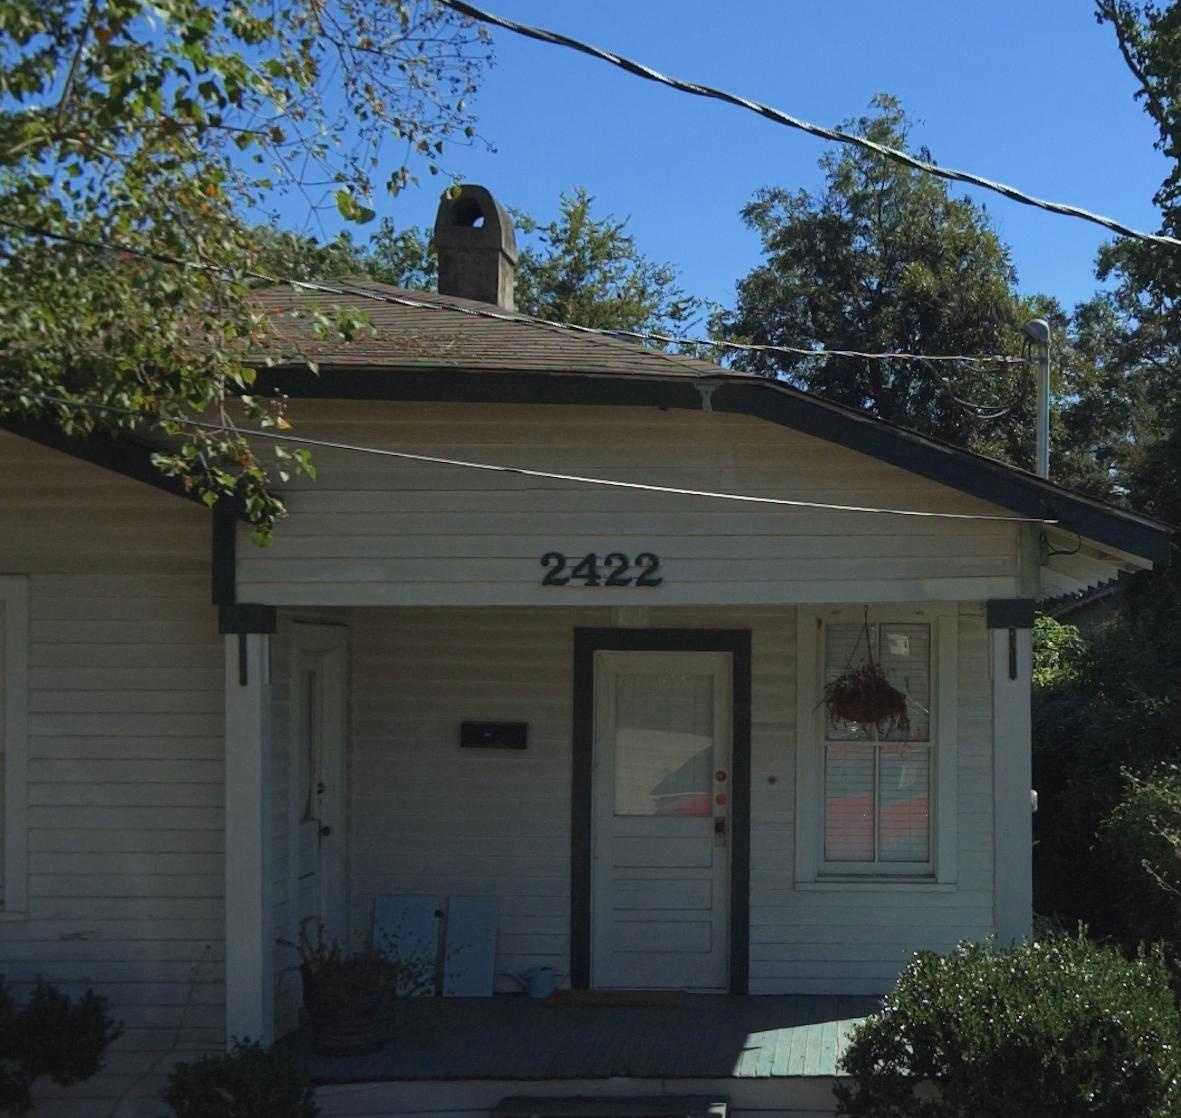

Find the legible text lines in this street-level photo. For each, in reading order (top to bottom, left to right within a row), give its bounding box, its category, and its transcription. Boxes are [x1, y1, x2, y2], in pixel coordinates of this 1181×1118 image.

[538, 549, 666, 589] StreetNumber: 2422